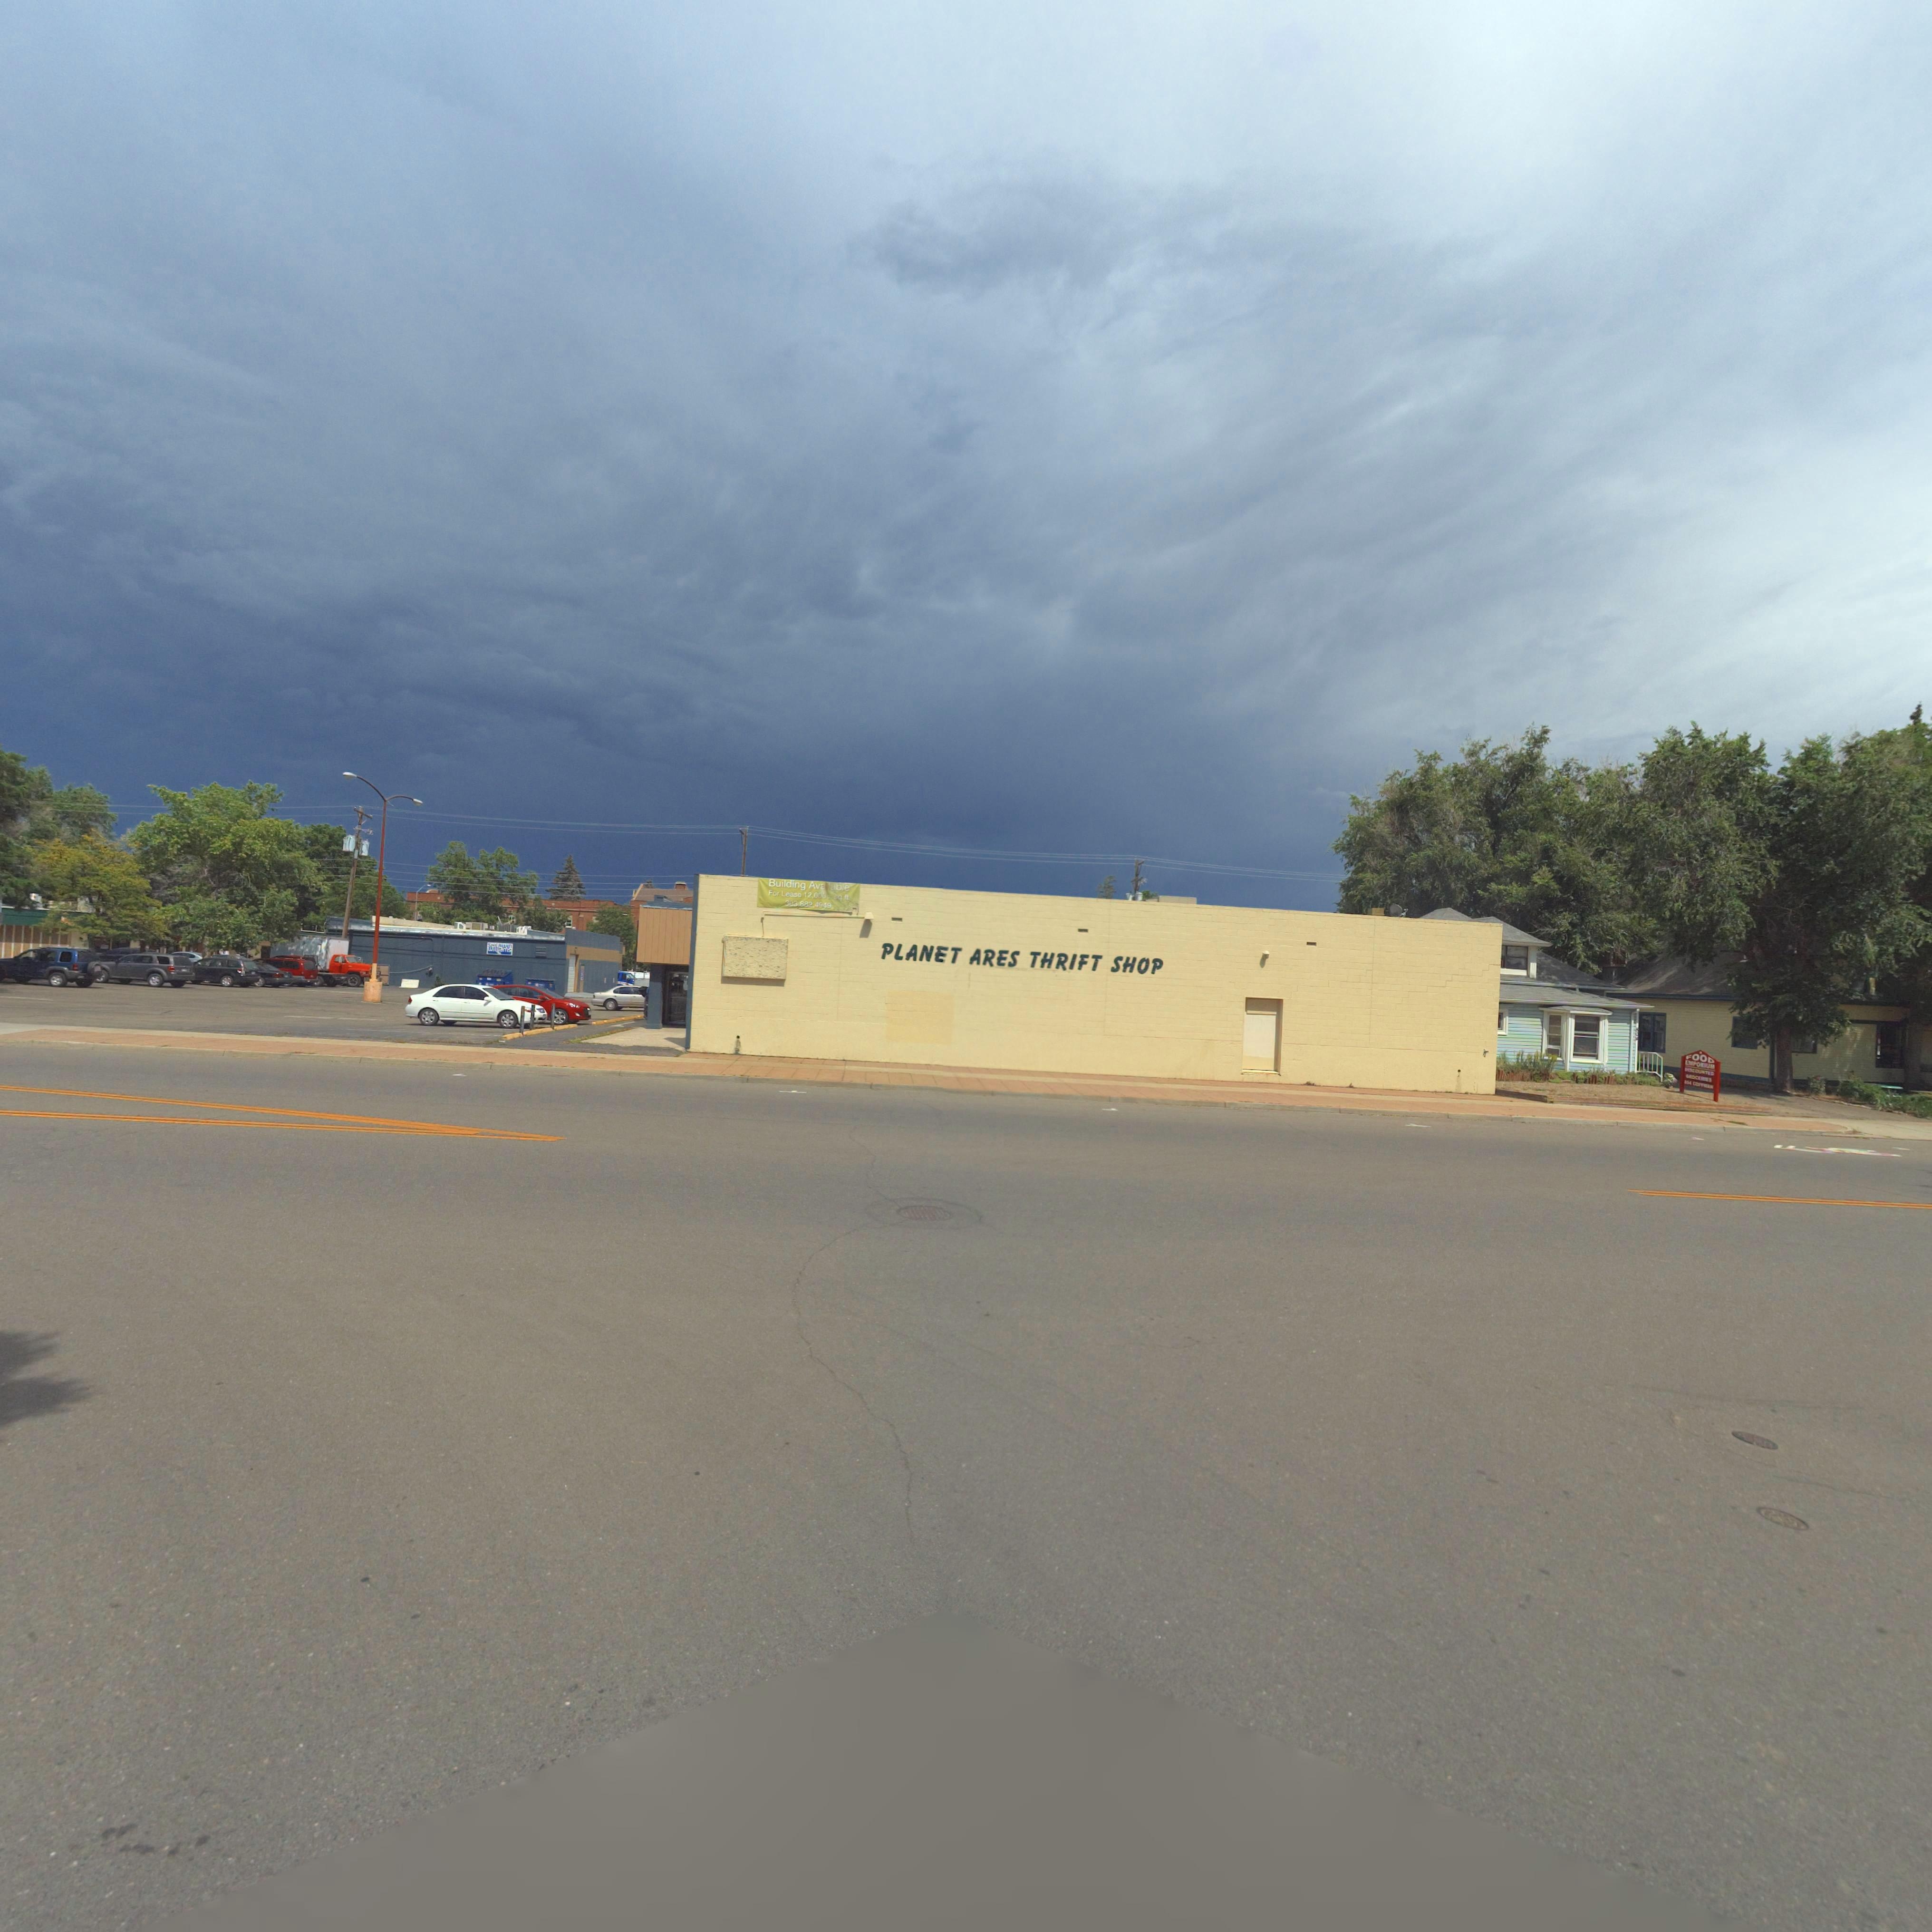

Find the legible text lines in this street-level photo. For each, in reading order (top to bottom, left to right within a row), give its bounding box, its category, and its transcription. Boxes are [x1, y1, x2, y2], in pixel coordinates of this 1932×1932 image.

[880, 941, 1165, 975] BusinessName: PLANET ARES THRIFT SHOP
[1635, 1026, 1640, 1041] StreetNumber: 804
[1685, 1053, 1715, 1063] BusinessName: FOOD
[1684, 1059, 1715, 1070] BusinessName: EMPORIUM
[1683, 1079, 1692, 1085] StreetNumber: 804